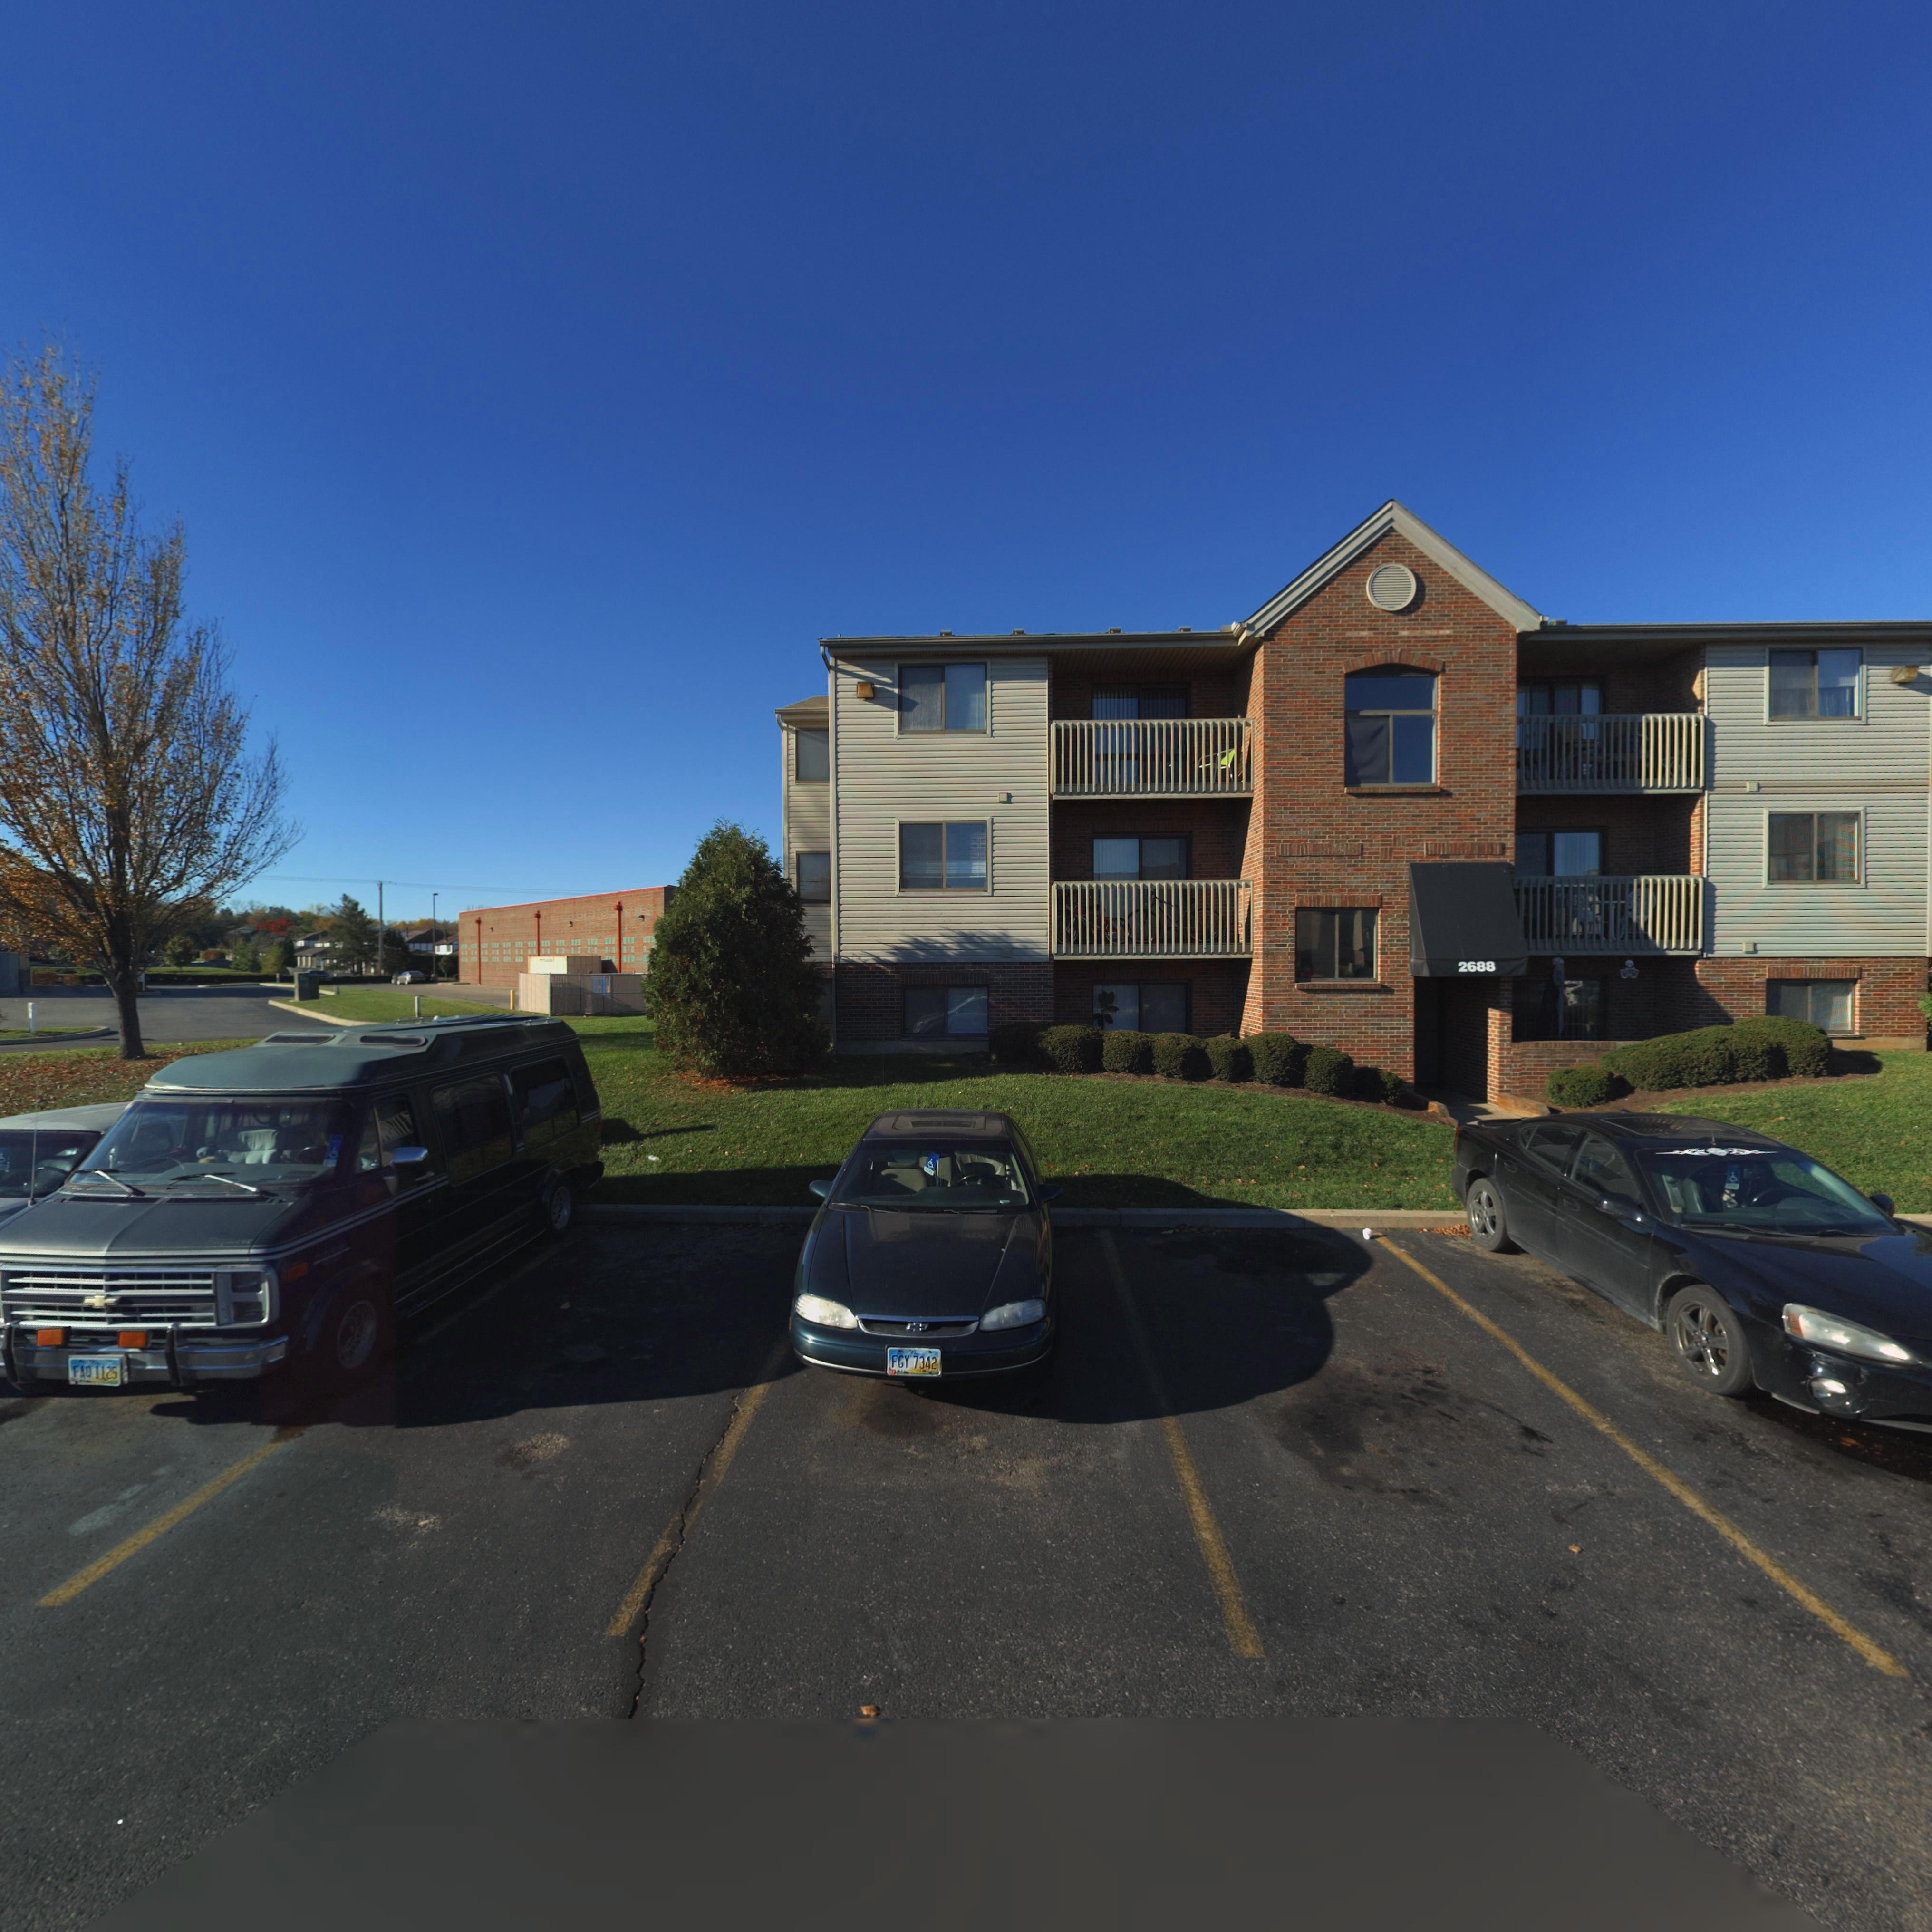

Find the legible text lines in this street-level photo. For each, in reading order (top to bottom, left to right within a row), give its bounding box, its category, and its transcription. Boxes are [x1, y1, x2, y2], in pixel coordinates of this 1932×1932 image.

[1457, 960, 1497, 973] StreetNumber: 2688